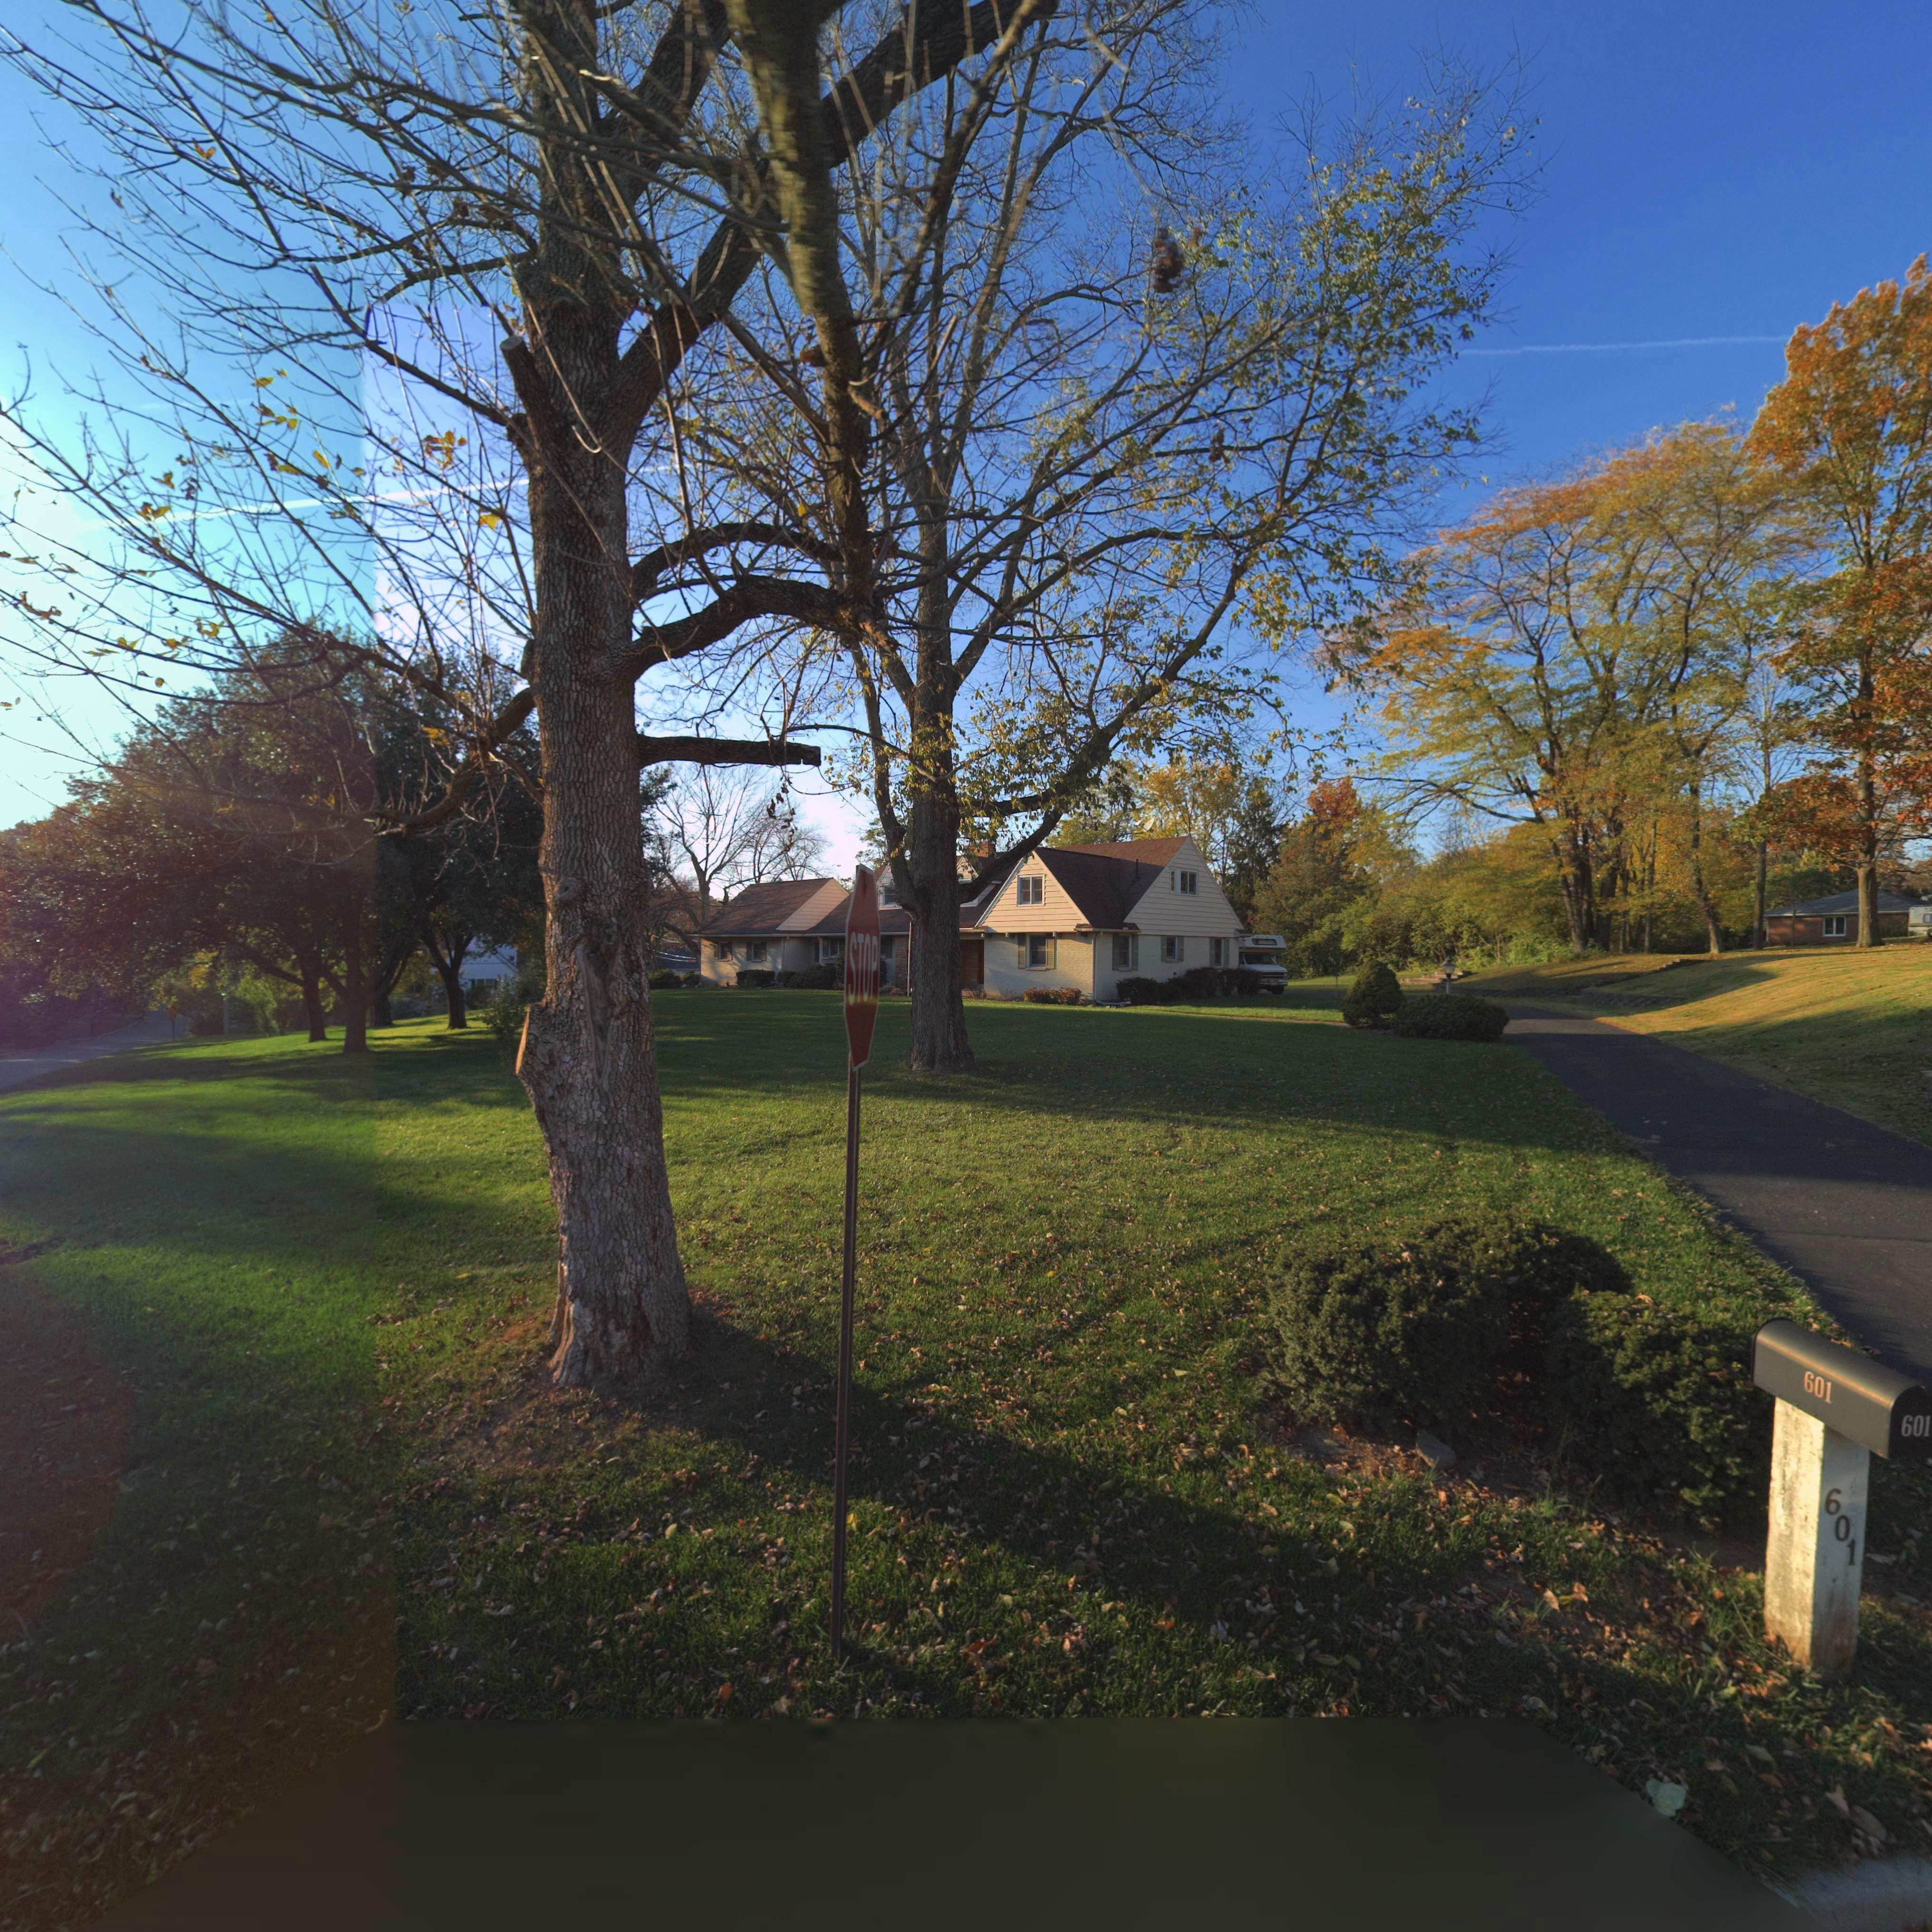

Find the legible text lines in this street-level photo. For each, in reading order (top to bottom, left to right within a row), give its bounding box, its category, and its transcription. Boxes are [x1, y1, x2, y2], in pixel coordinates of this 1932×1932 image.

[1802, 1368, 1833, 1405] StreetNumber: 601
[1900, 1413, 1932, 1438] StreetNumber: 601
[1824, 1486, 1858, 1566] StreetNumber: 601